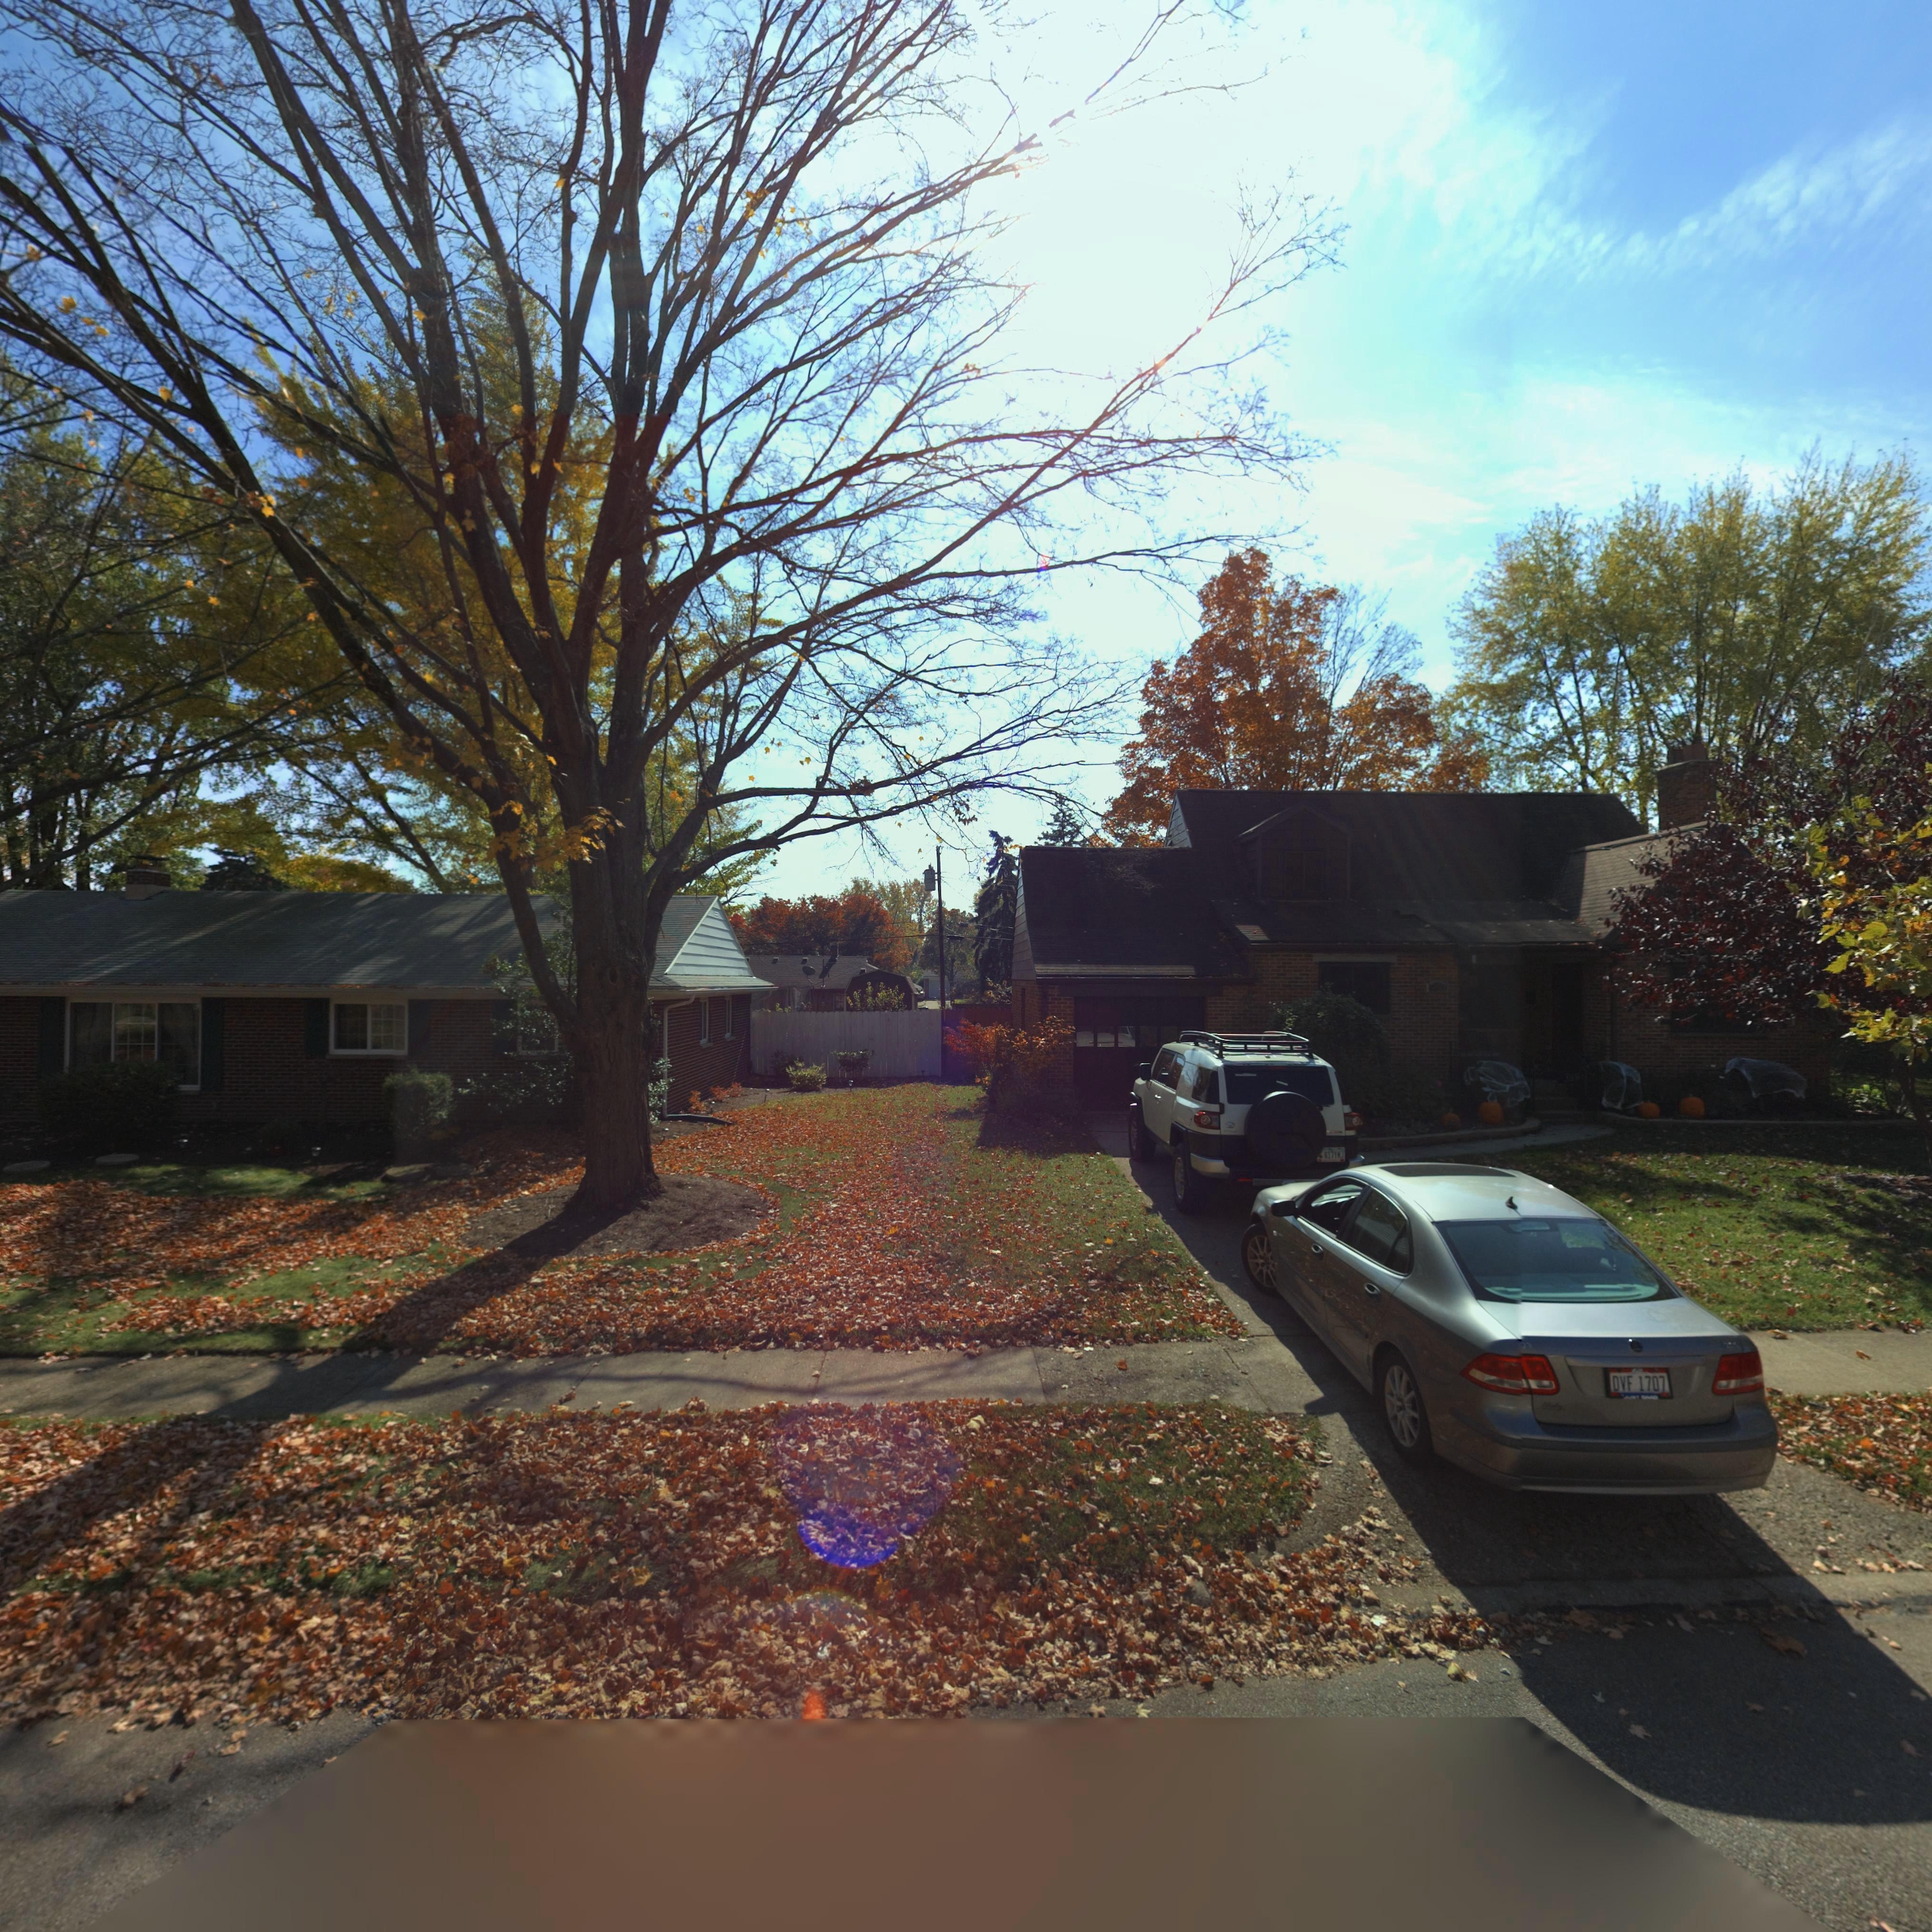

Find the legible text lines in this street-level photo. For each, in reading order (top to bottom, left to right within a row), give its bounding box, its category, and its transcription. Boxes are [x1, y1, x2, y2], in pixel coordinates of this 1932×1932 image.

[1609, 1372, 1670, 1394] None: DVF 1707